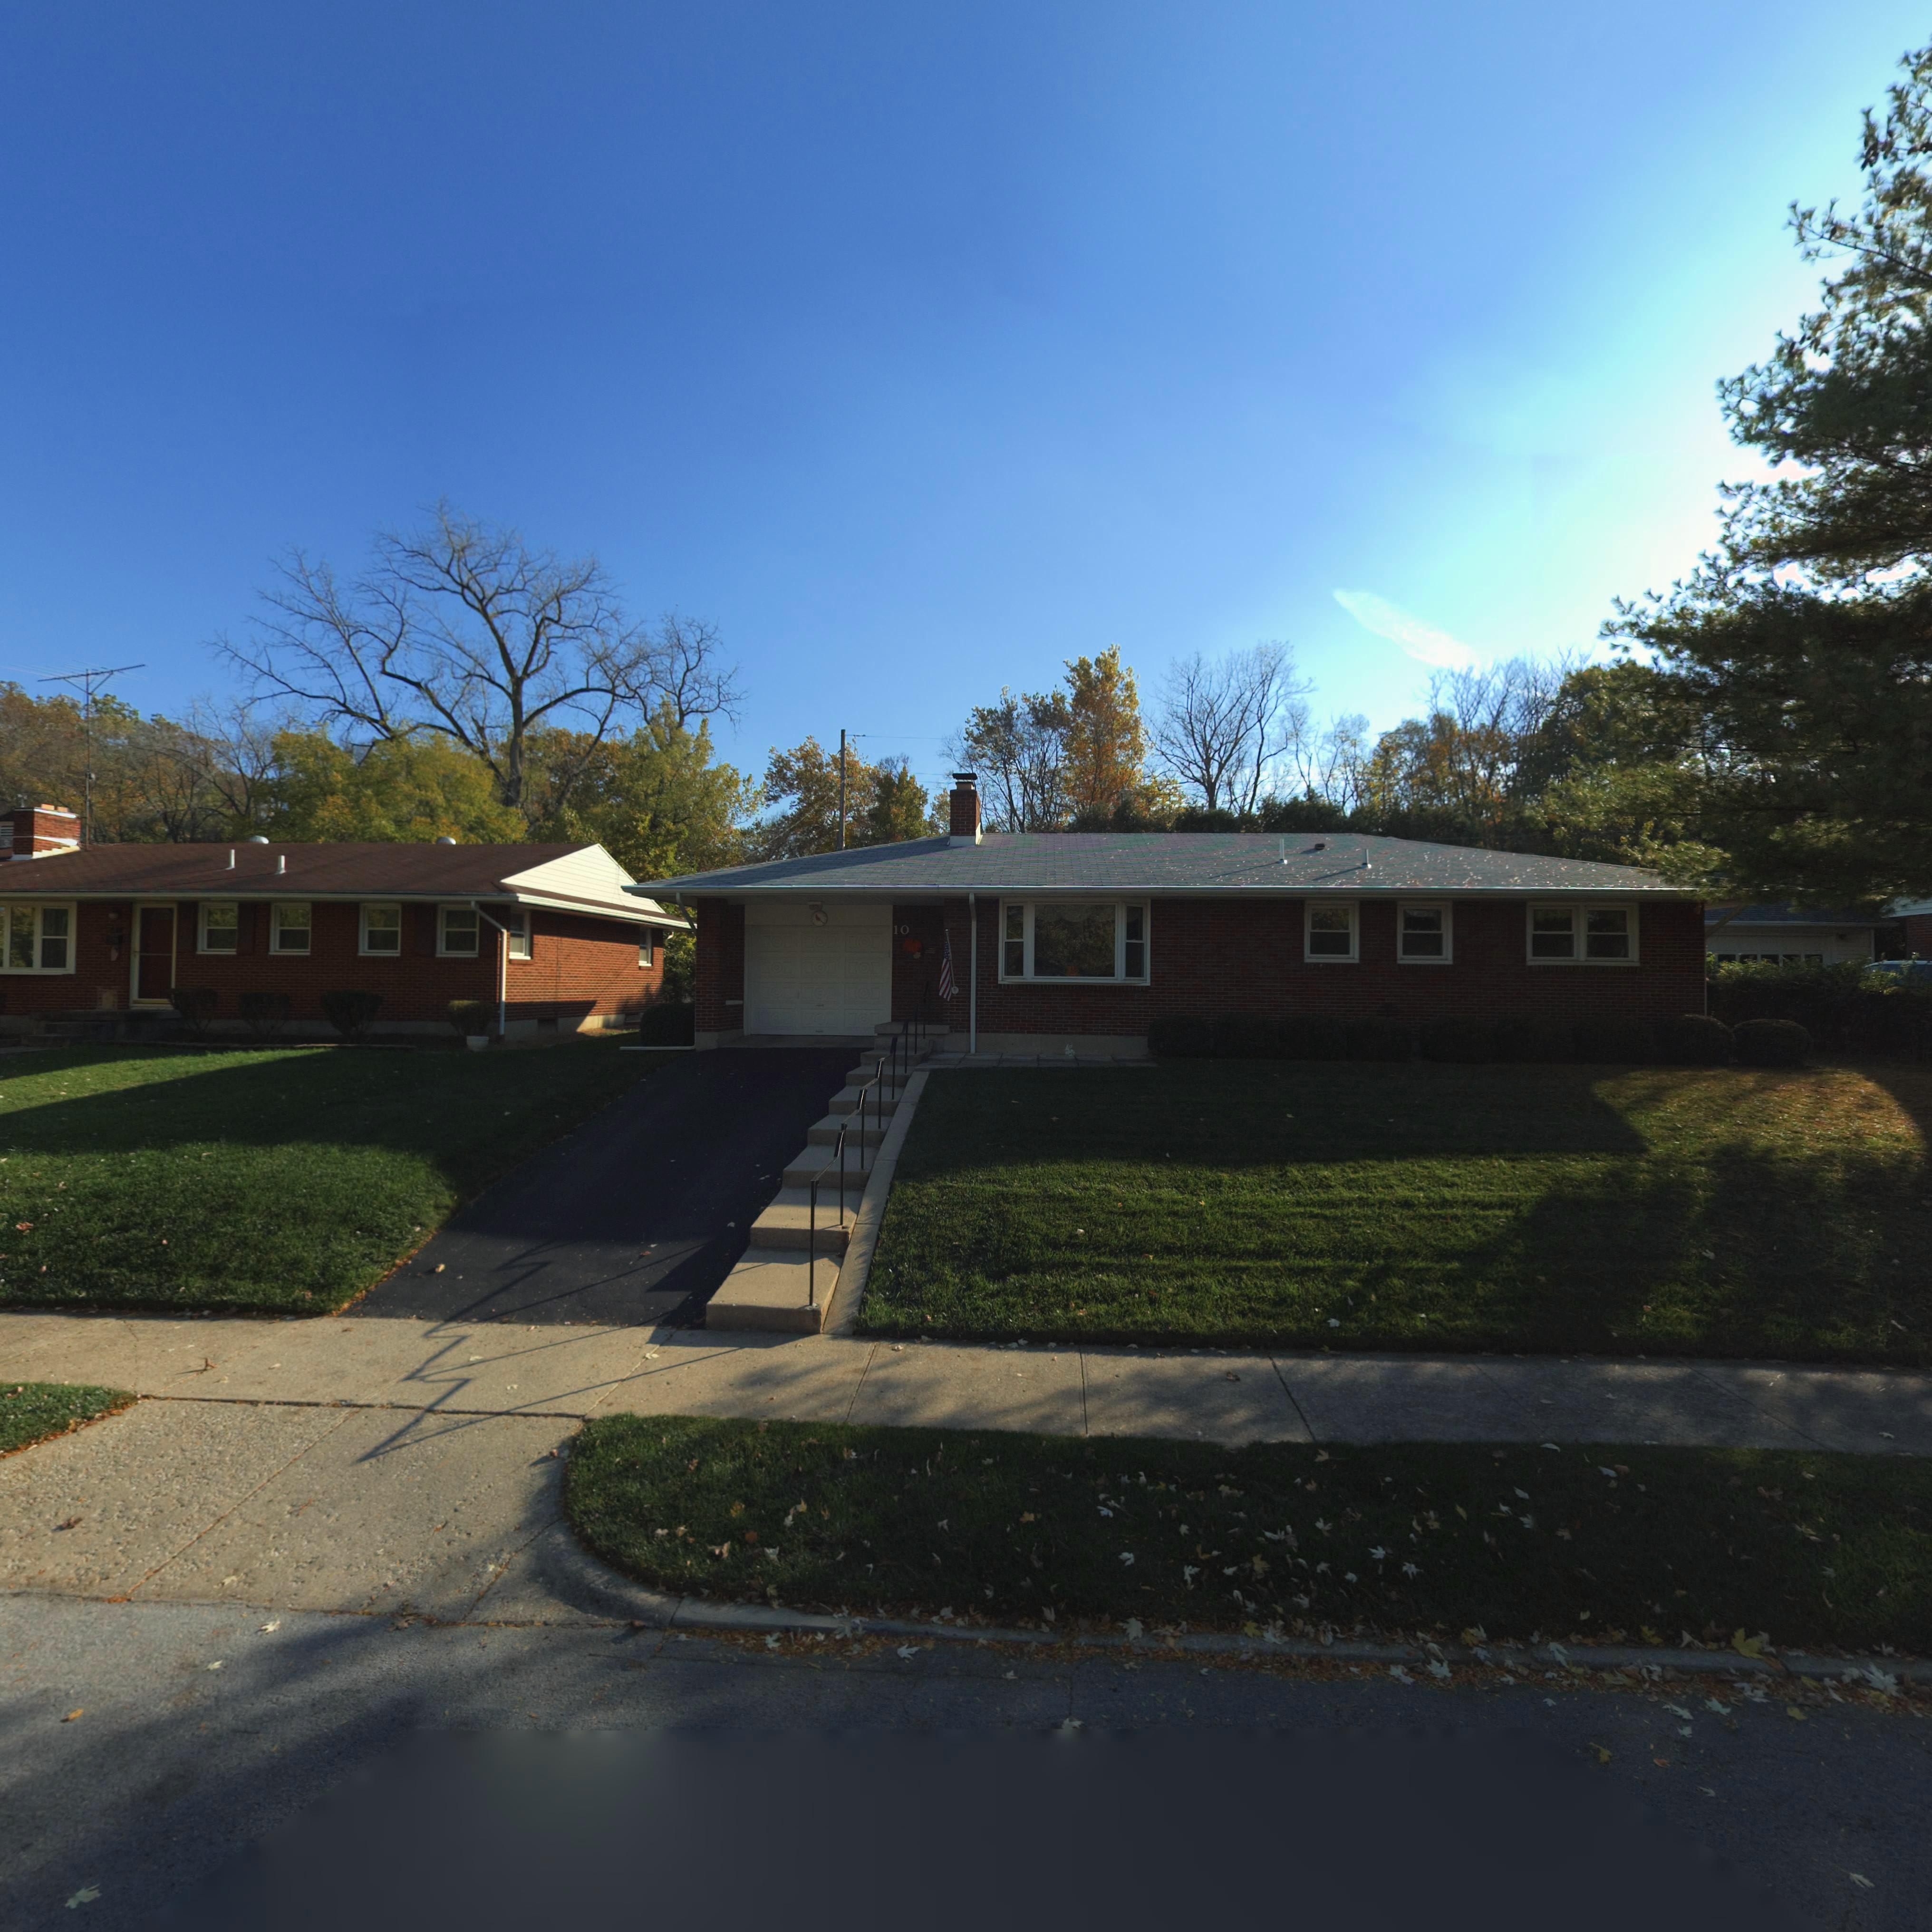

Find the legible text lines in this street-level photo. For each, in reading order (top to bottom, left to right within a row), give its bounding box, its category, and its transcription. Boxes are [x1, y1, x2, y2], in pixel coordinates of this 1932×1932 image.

[893, 925, 909, 935] StreetNumber: 10